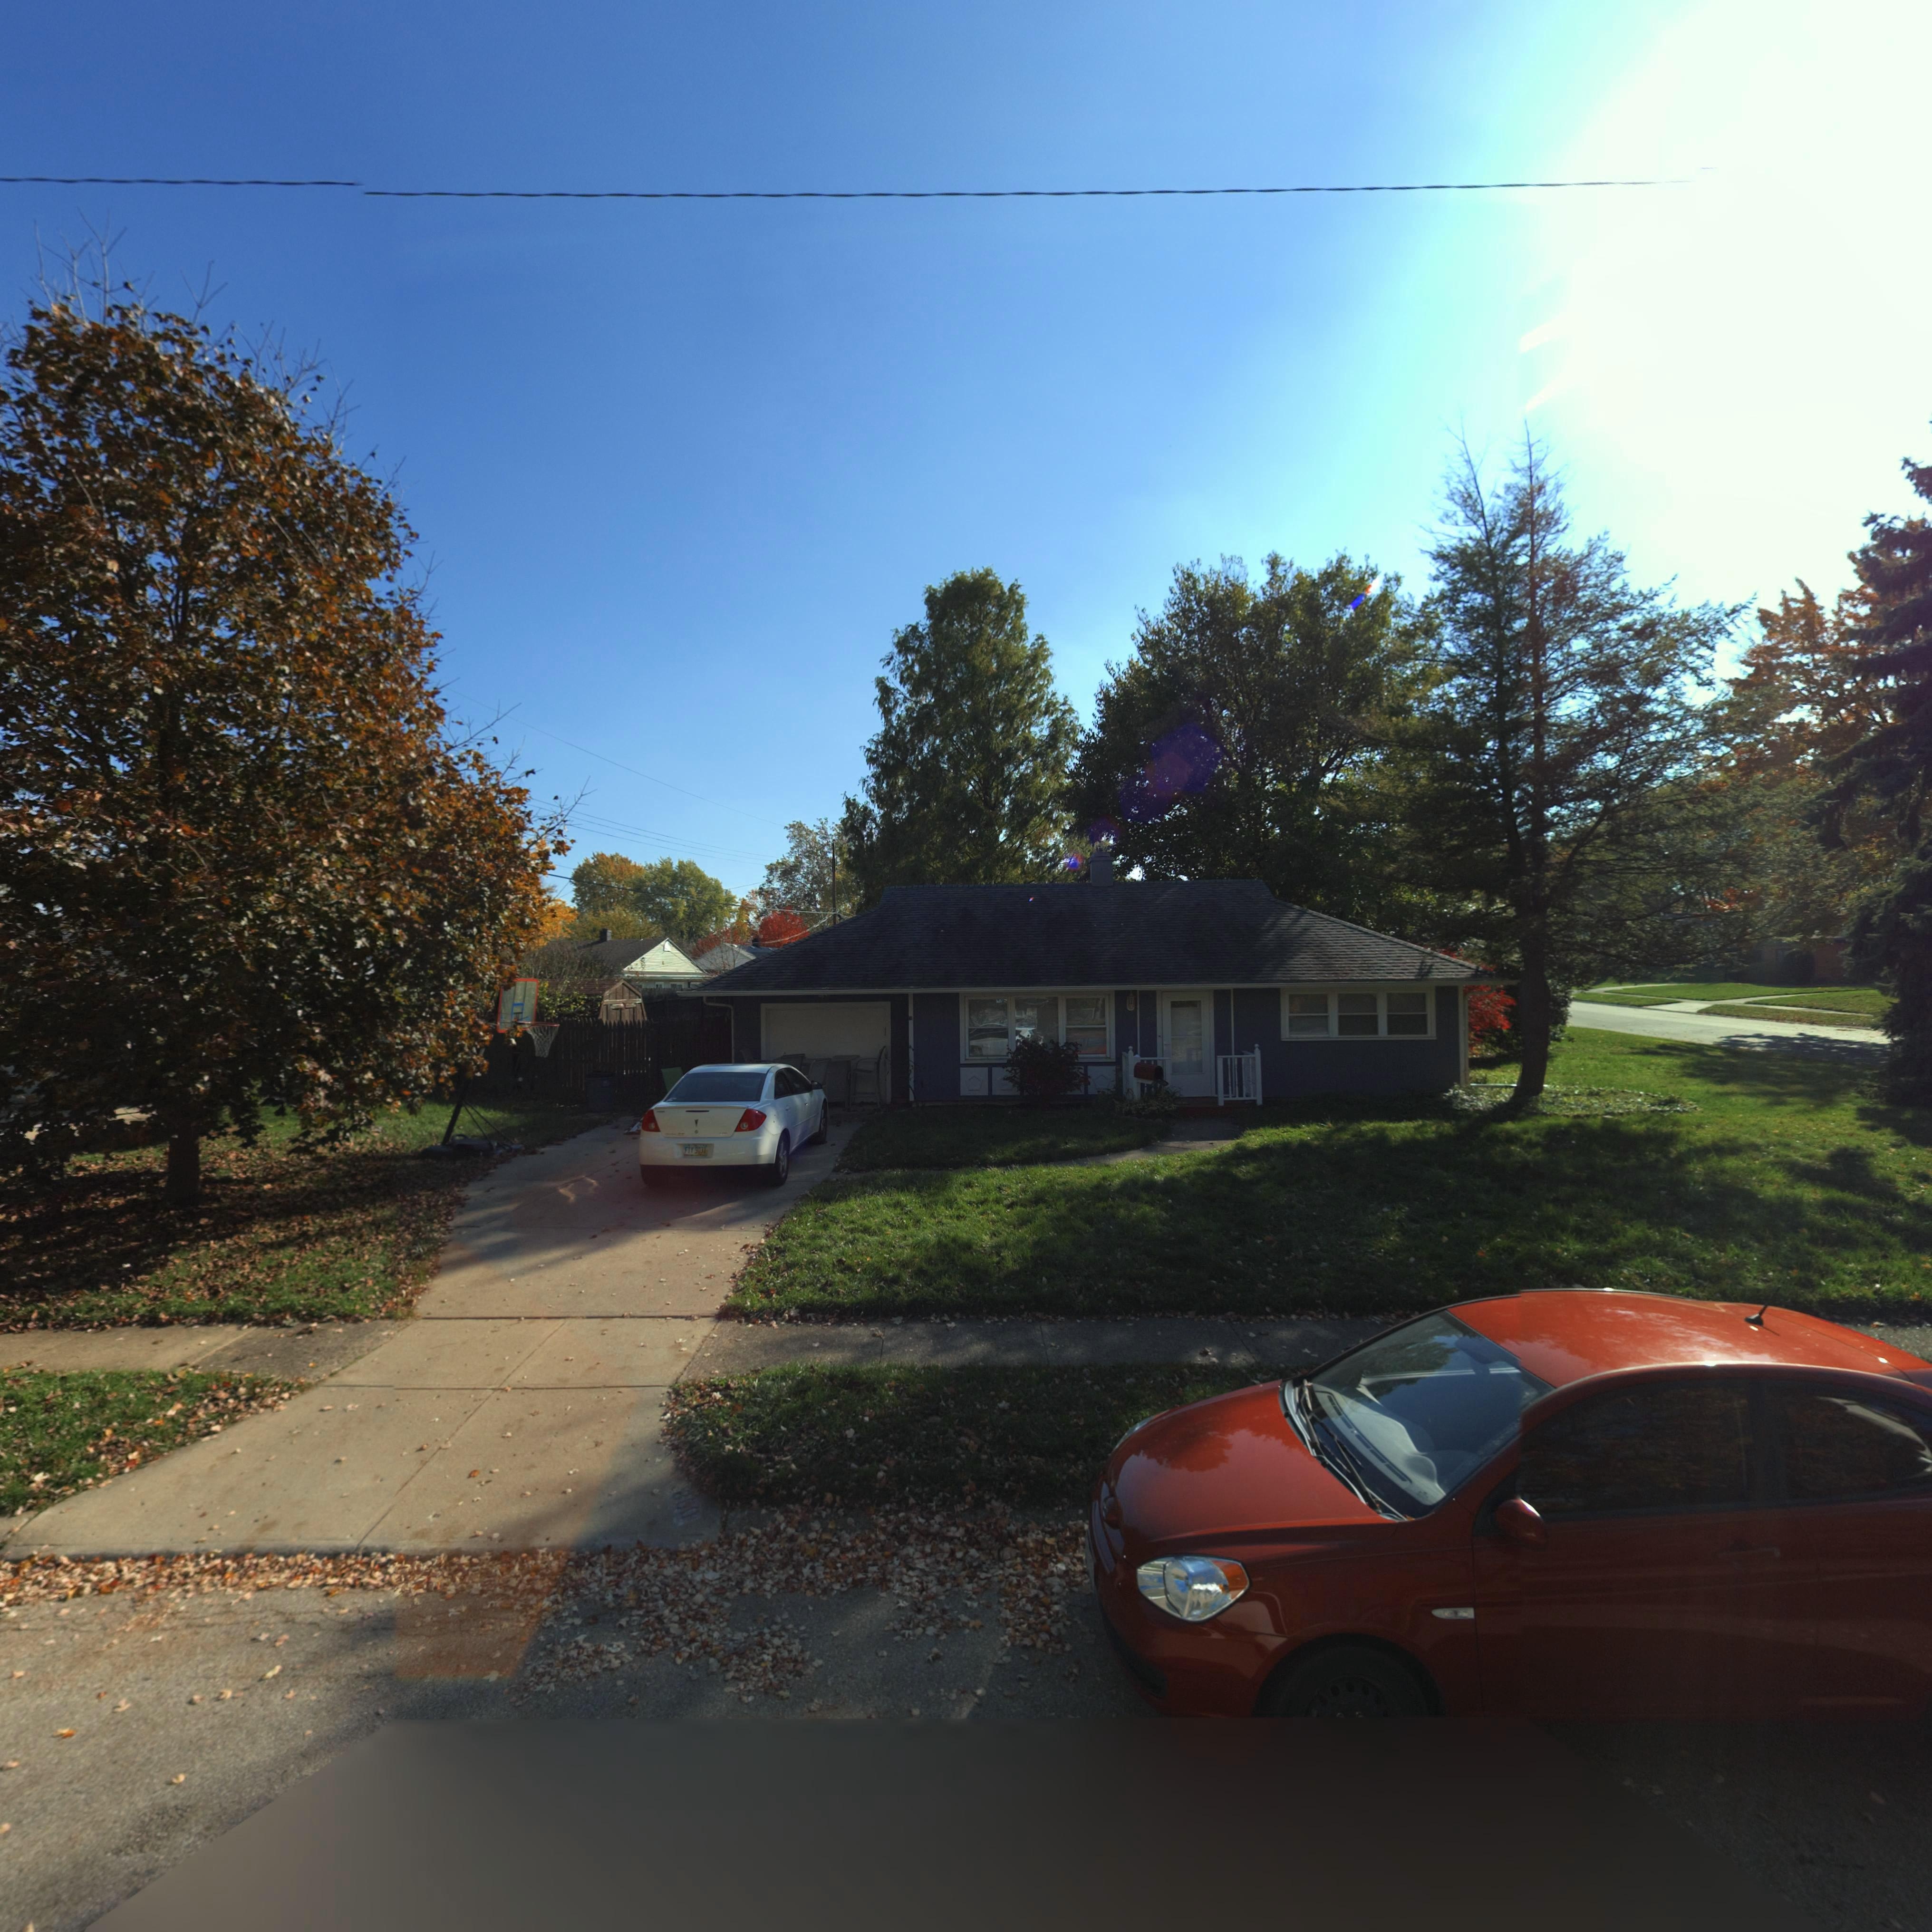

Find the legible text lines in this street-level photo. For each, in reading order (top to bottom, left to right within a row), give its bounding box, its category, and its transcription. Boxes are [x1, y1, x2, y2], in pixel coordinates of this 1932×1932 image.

[684, 1146, 706, 1154] None: FIY 9031